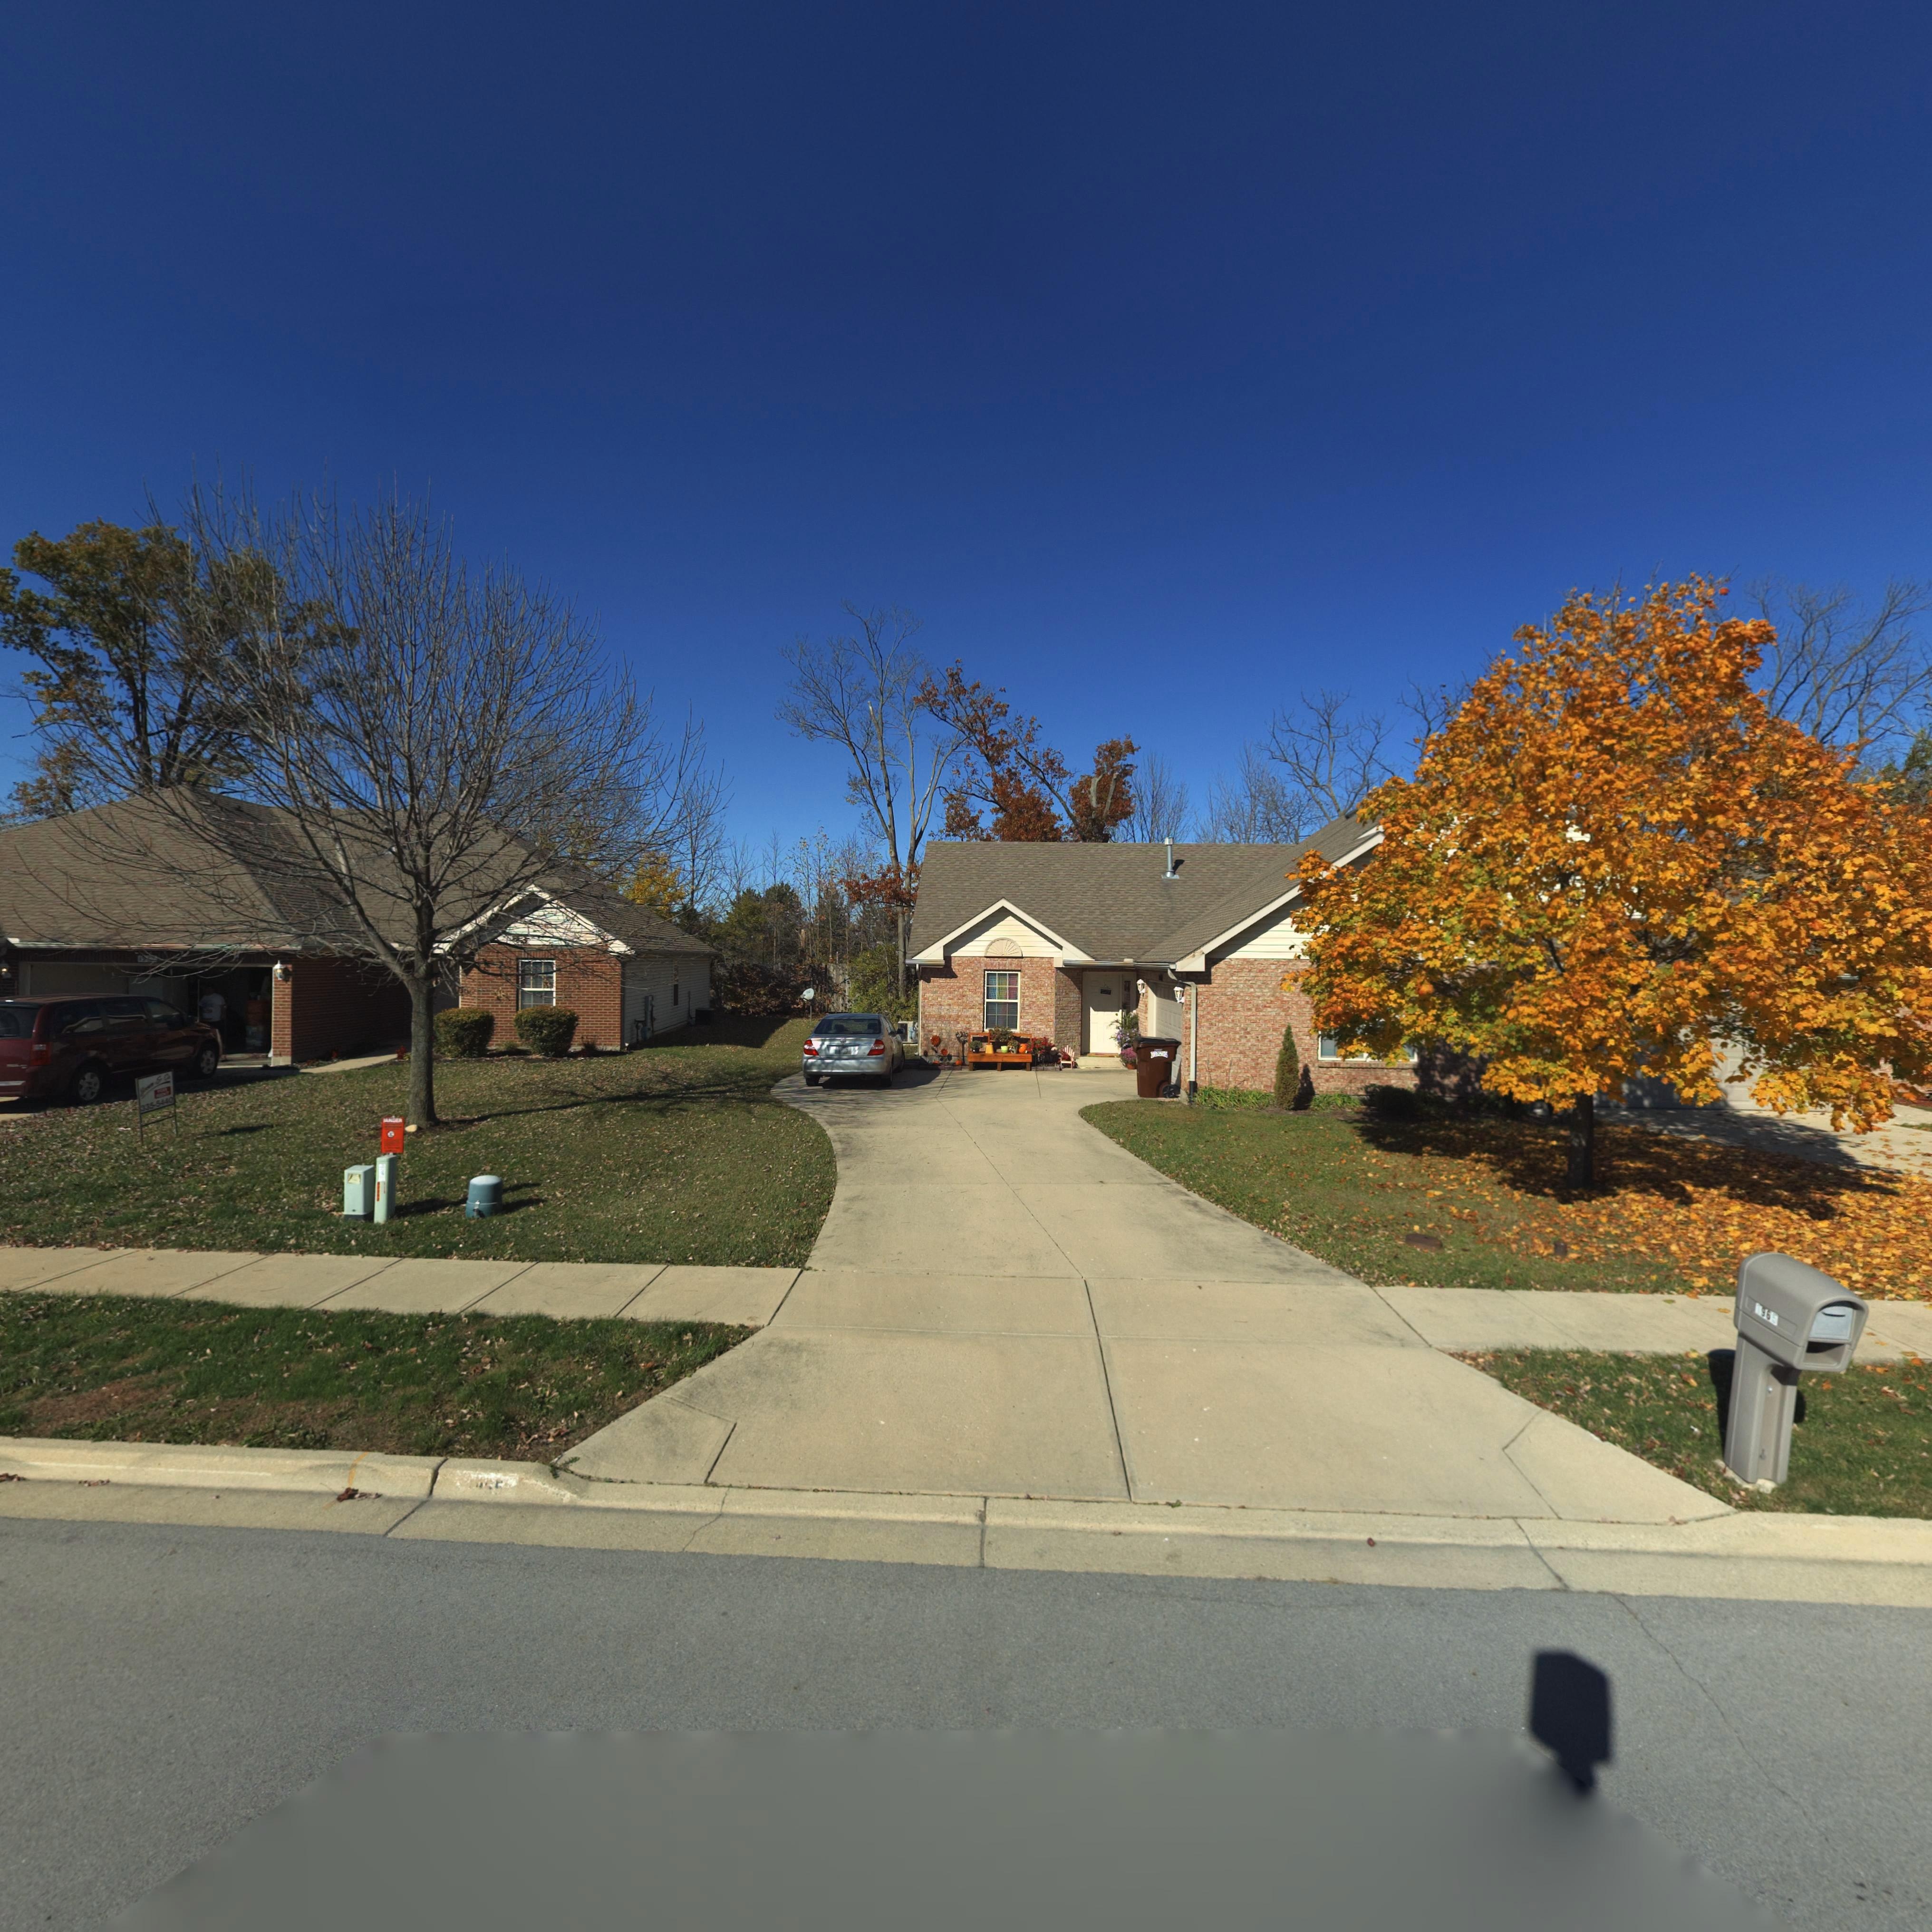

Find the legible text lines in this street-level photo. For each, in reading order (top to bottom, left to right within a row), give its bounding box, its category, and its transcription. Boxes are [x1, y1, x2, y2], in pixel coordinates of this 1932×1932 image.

[1760, 1304, 1772, 1322] StreetNumber: 96